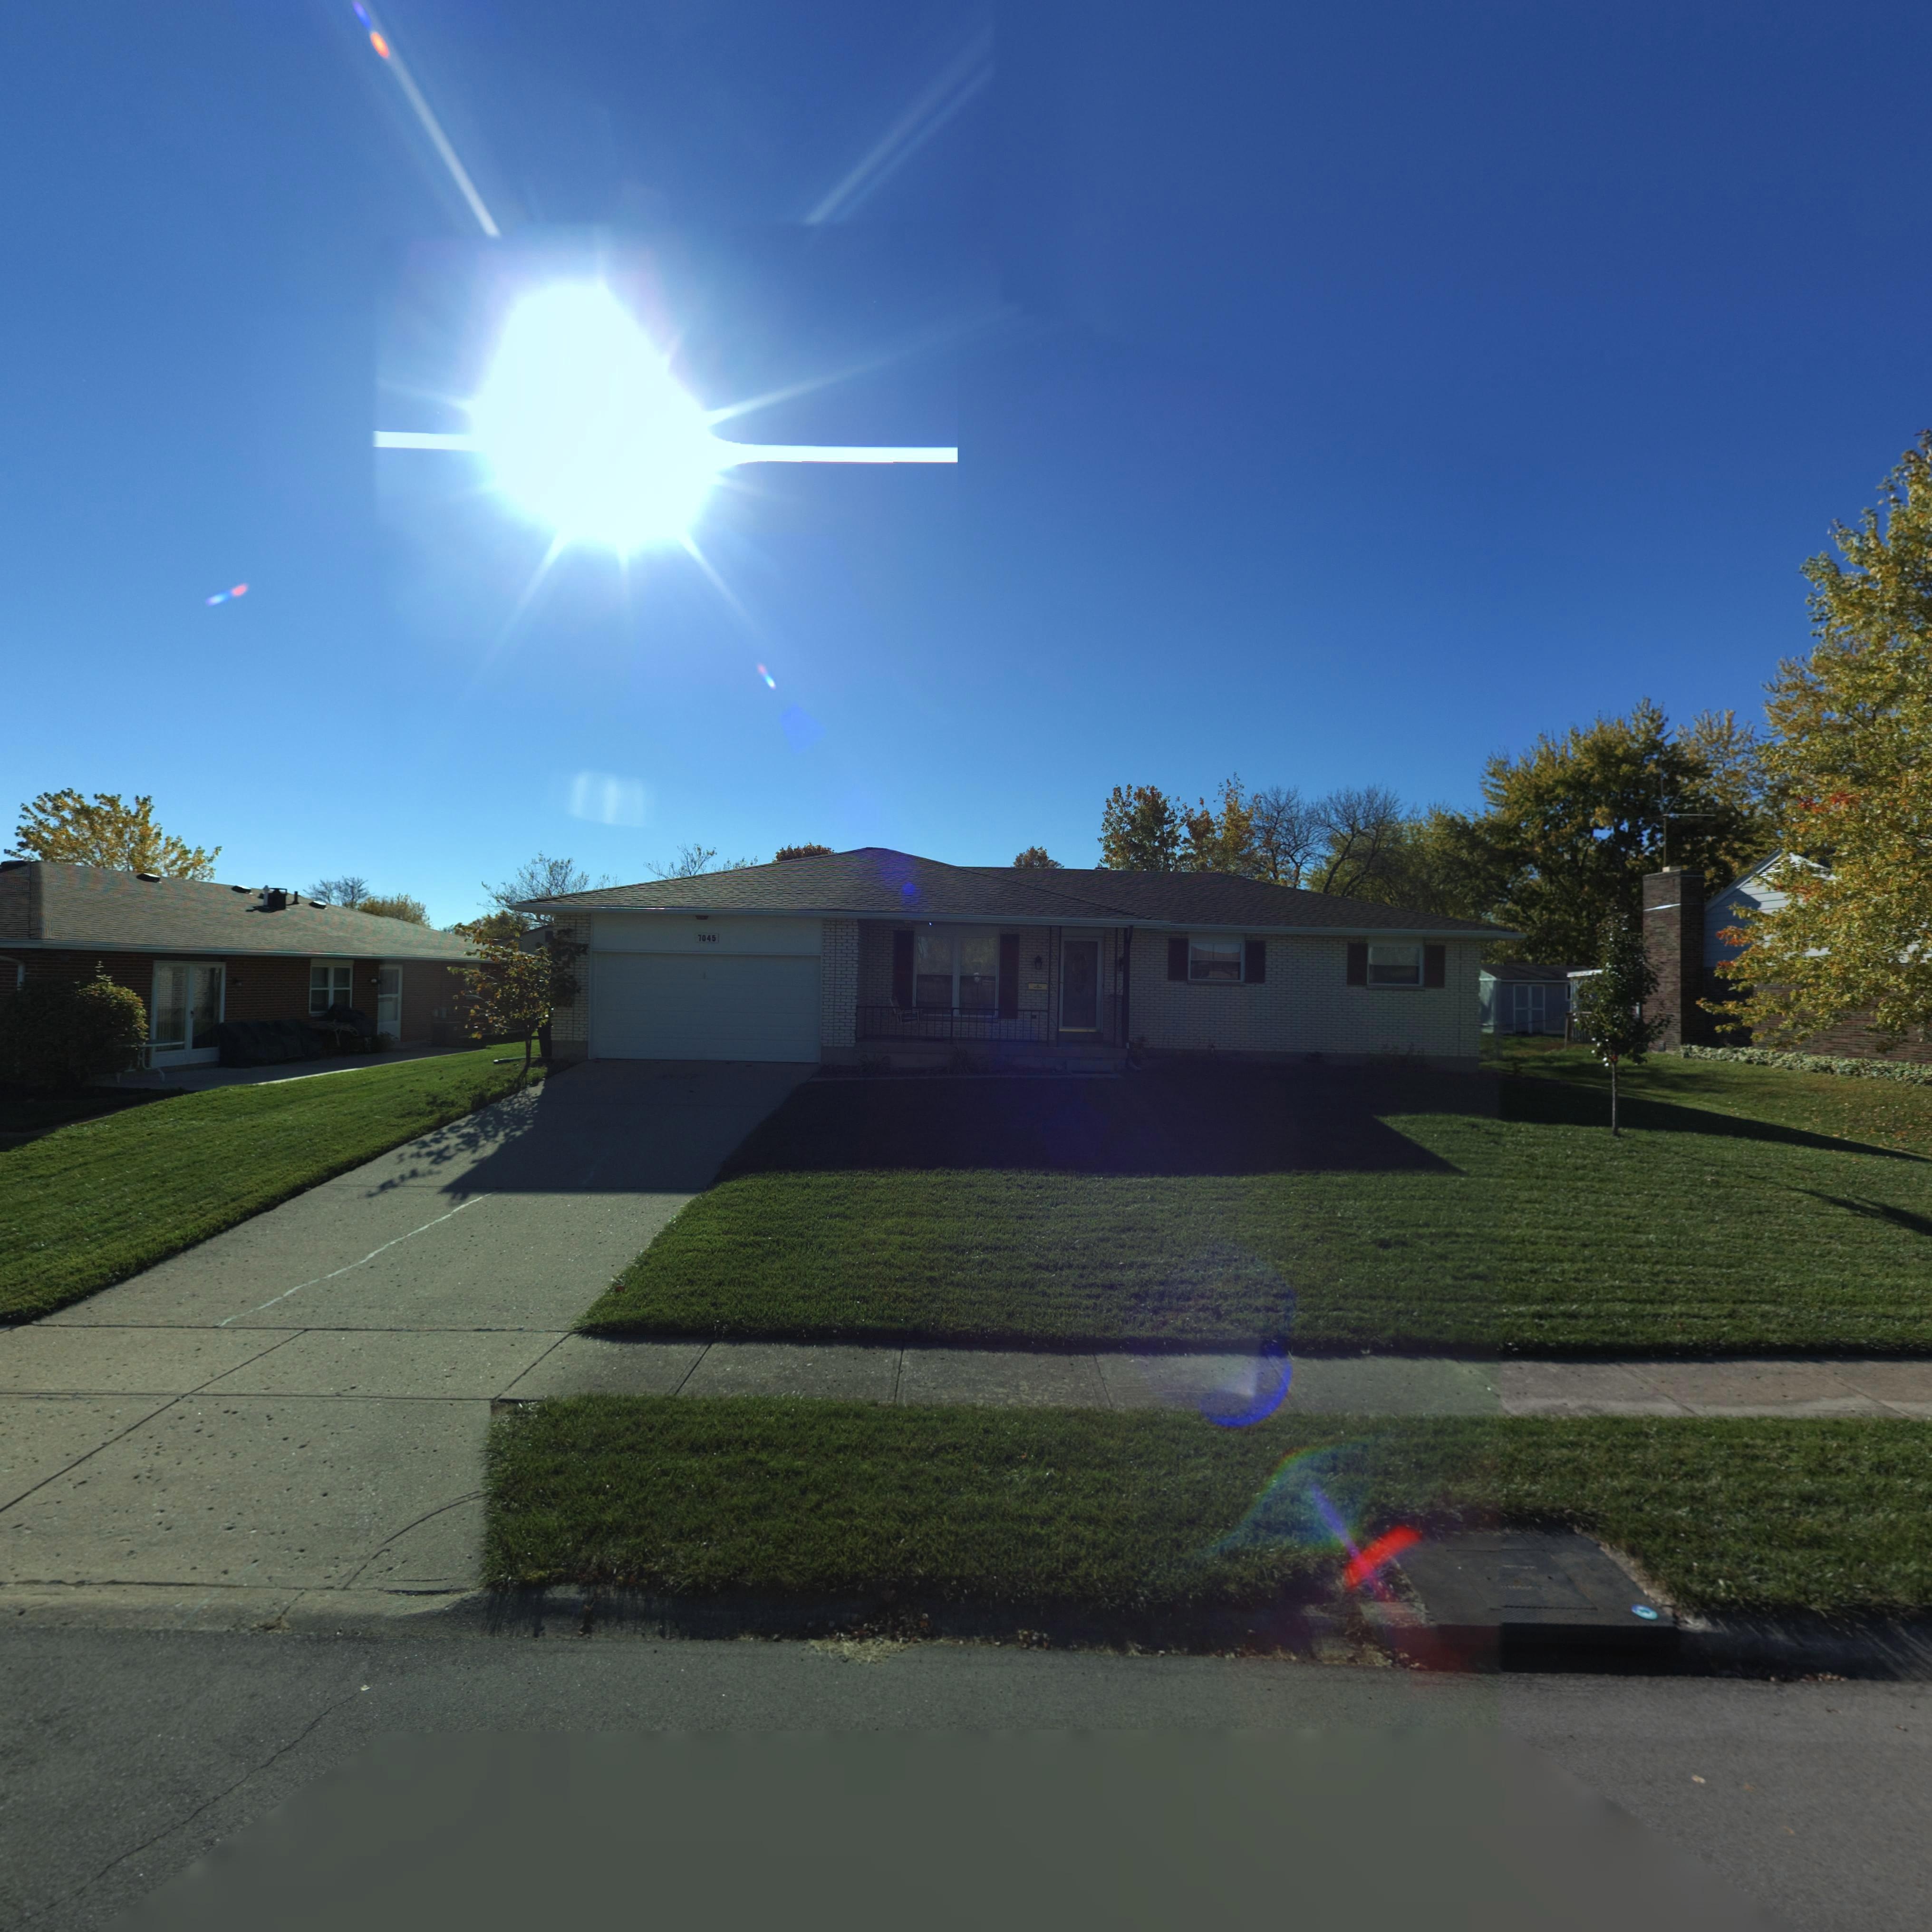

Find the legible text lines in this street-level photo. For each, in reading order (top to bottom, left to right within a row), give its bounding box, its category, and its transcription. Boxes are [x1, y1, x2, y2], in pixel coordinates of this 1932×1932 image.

[697, 934, 716, 942] StreetNumber: 7045